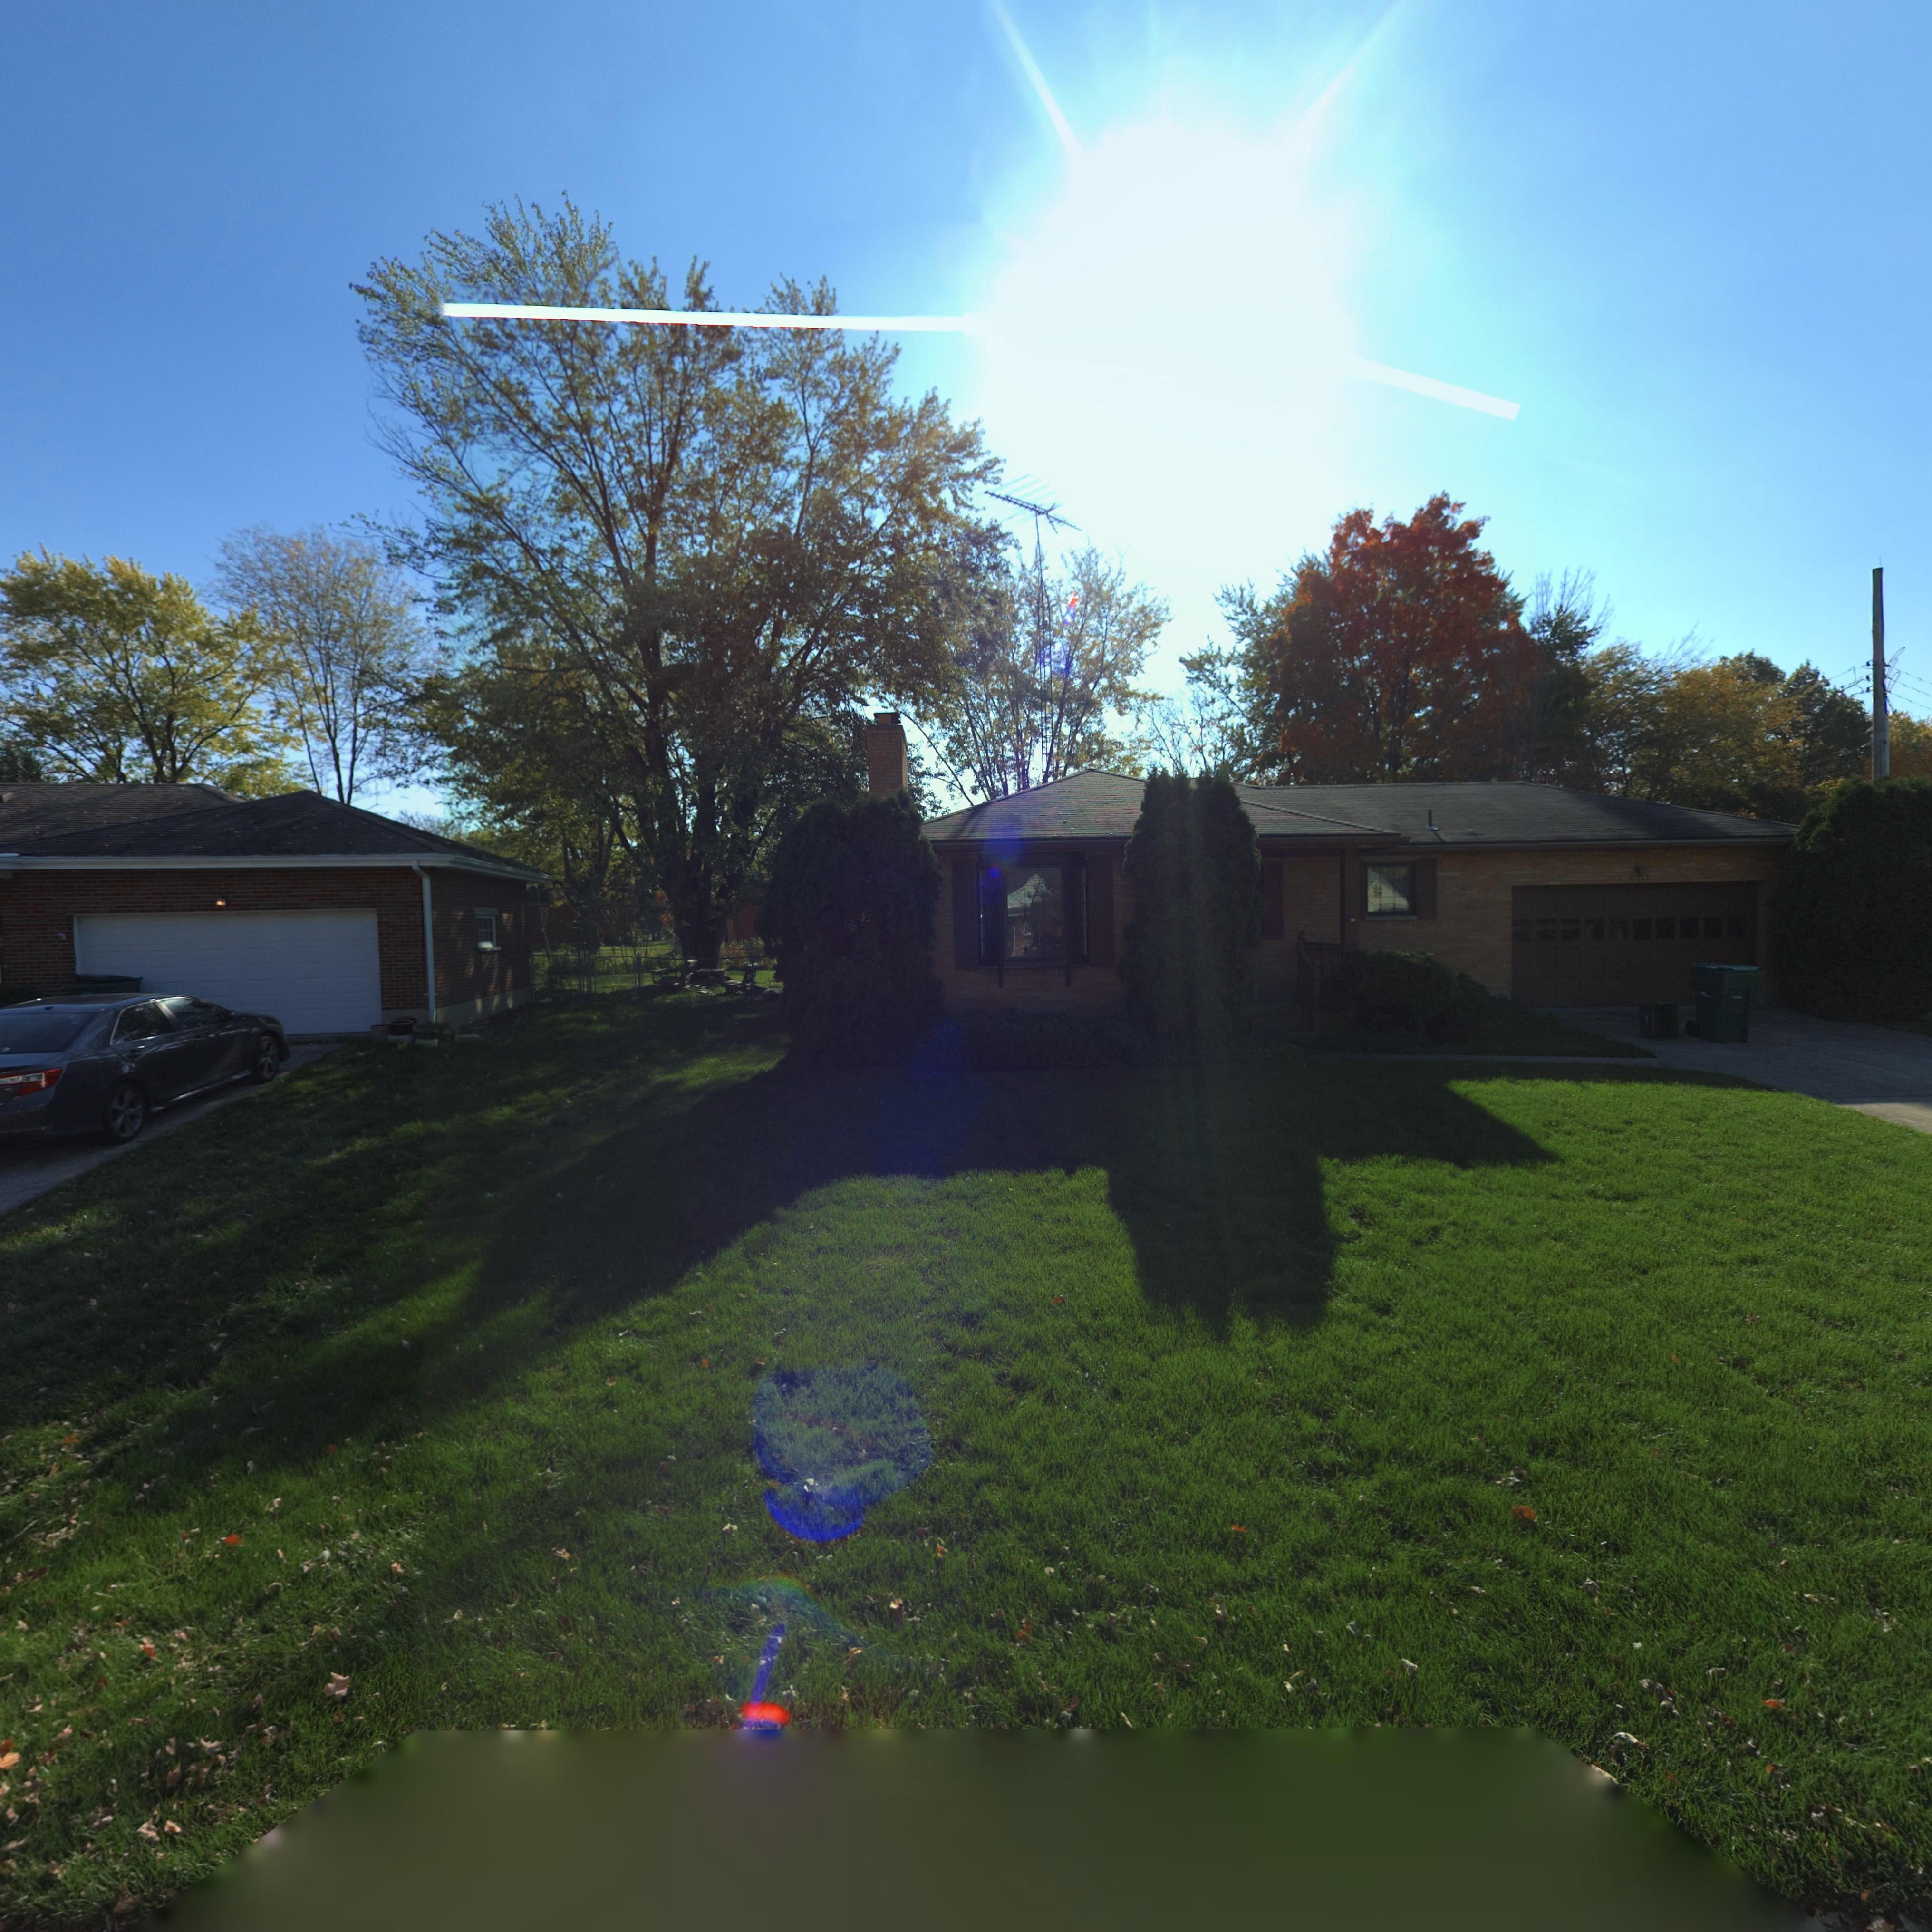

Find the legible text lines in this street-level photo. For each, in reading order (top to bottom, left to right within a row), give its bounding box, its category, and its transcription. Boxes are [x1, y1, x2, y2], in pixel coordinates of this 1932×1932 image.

[1629, 873, 1650, 884] StreetNumber: 610